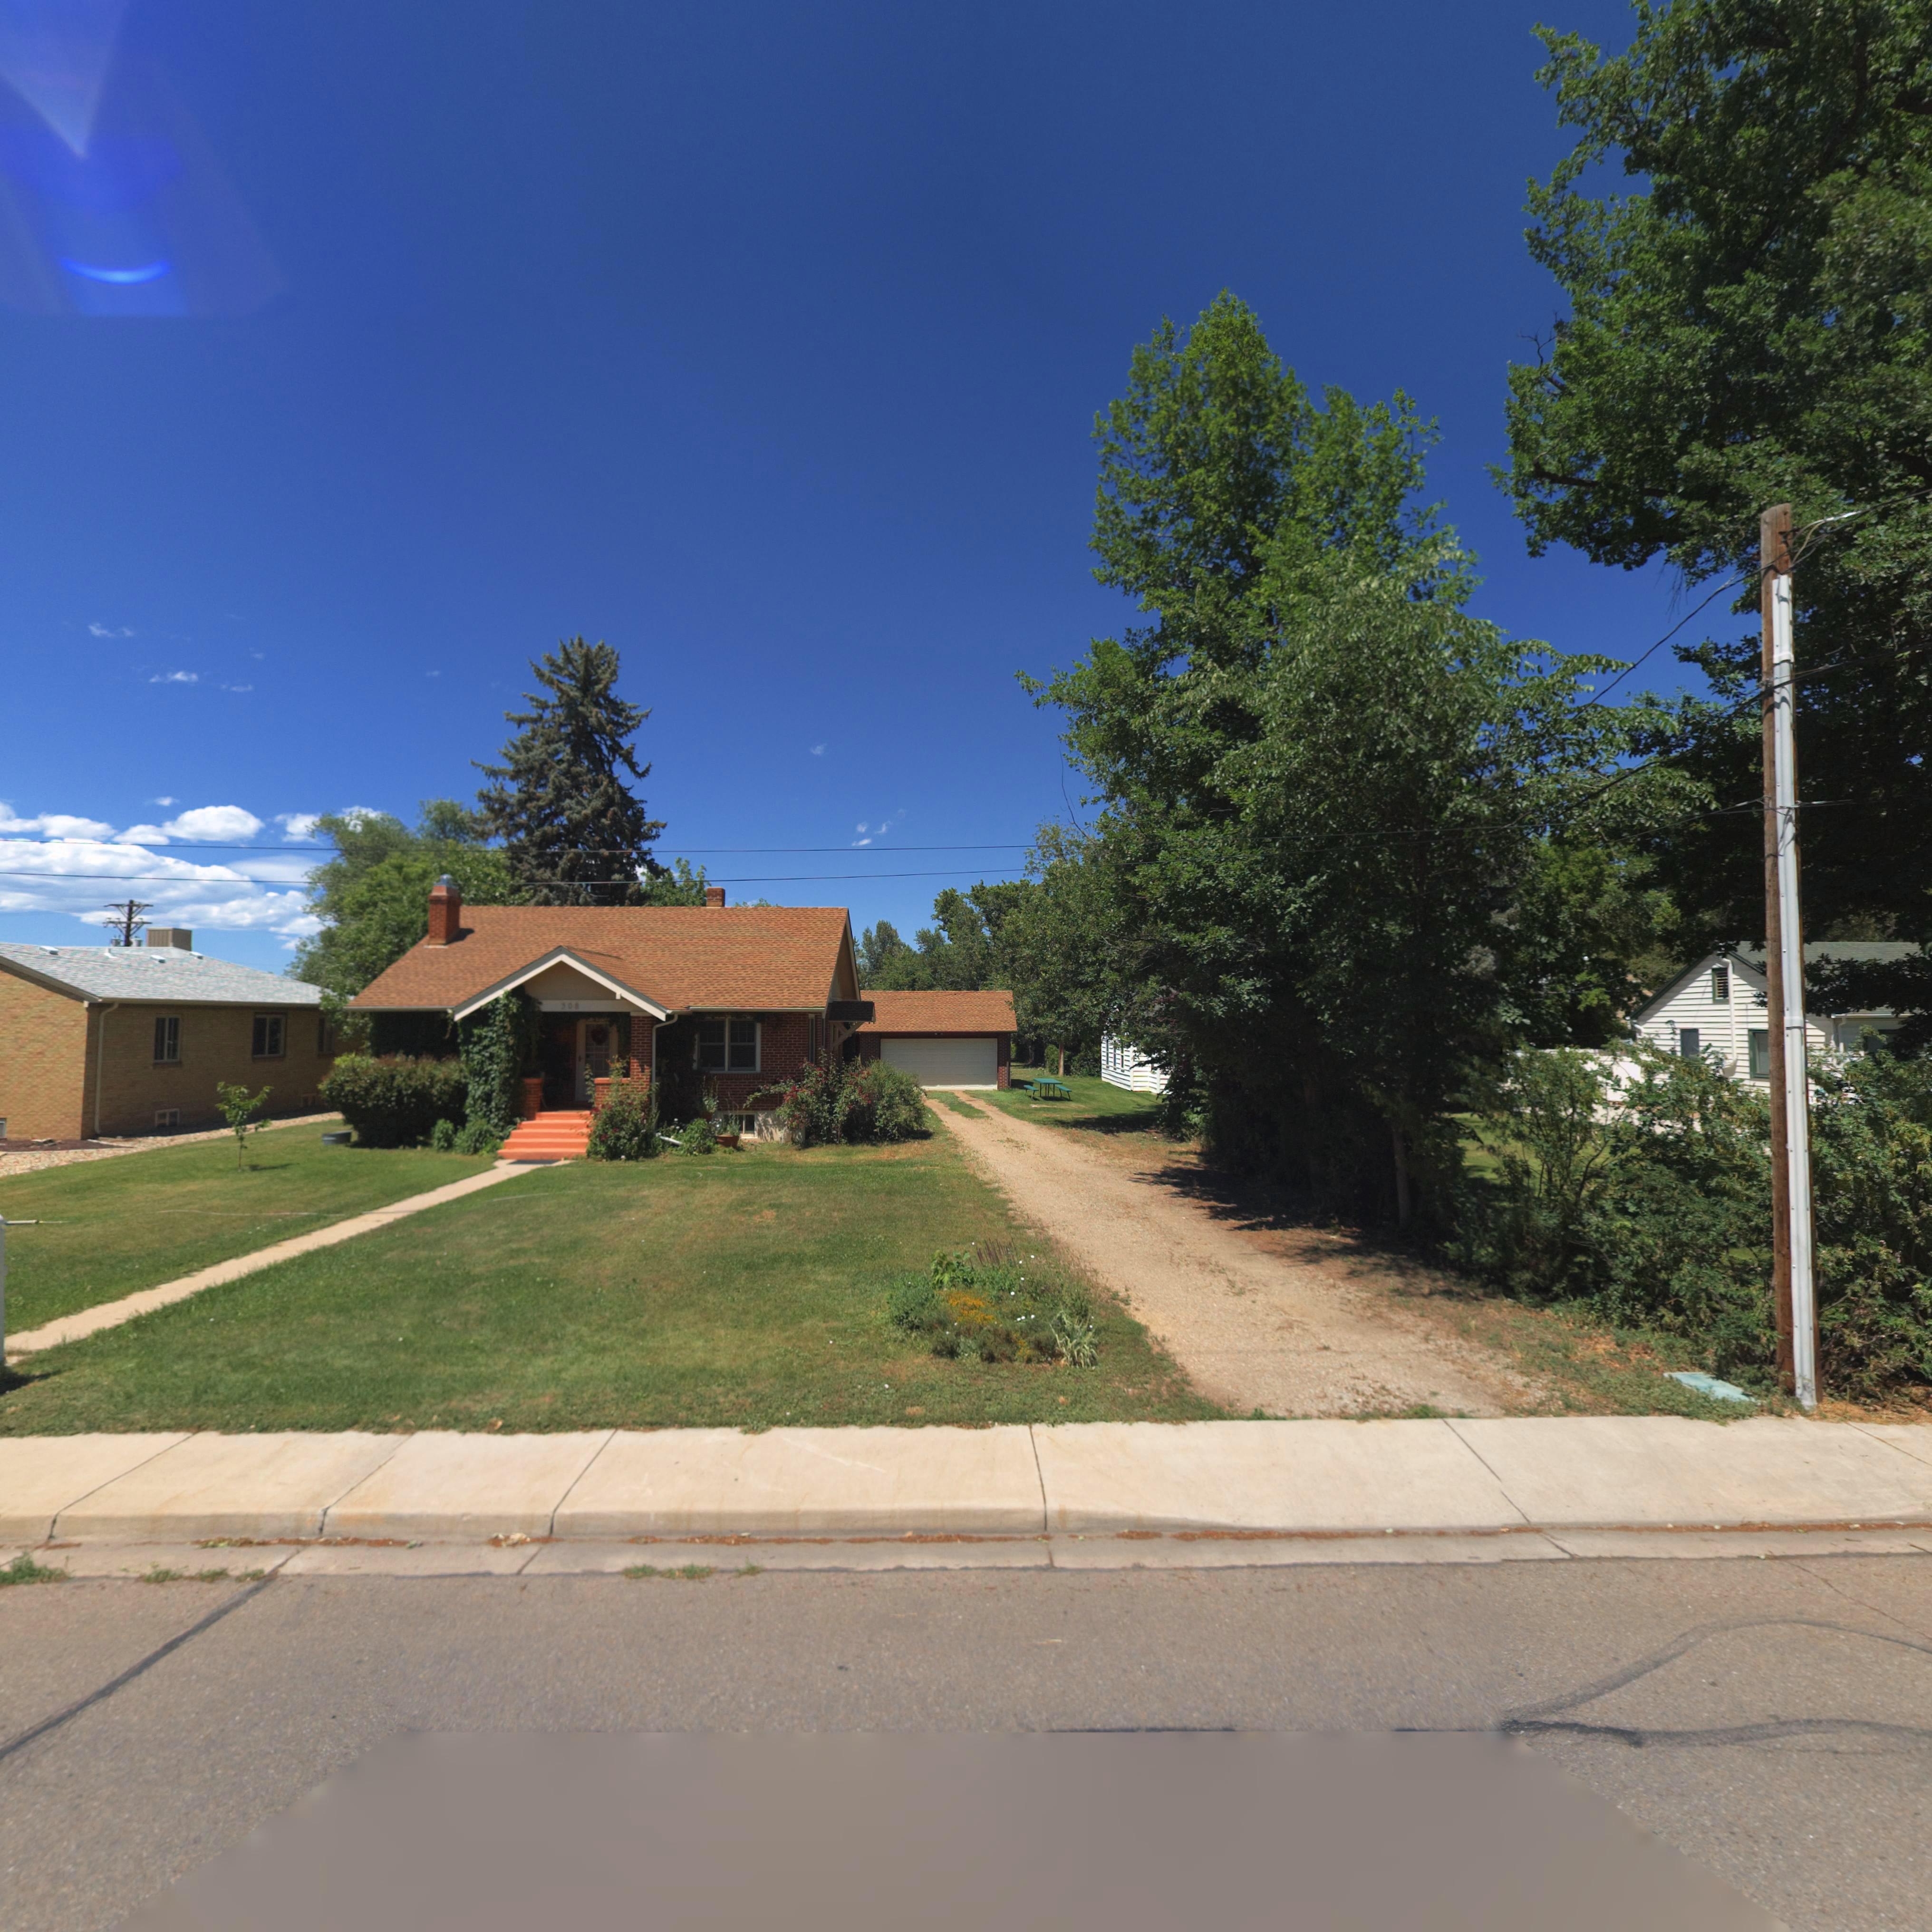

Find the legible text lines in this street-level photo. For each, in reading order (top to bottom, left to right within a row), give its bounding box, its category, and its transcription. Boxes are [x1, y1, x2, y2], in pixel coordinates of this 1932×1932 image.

[559, 1000, 582, 1012] StreetNumber: 308